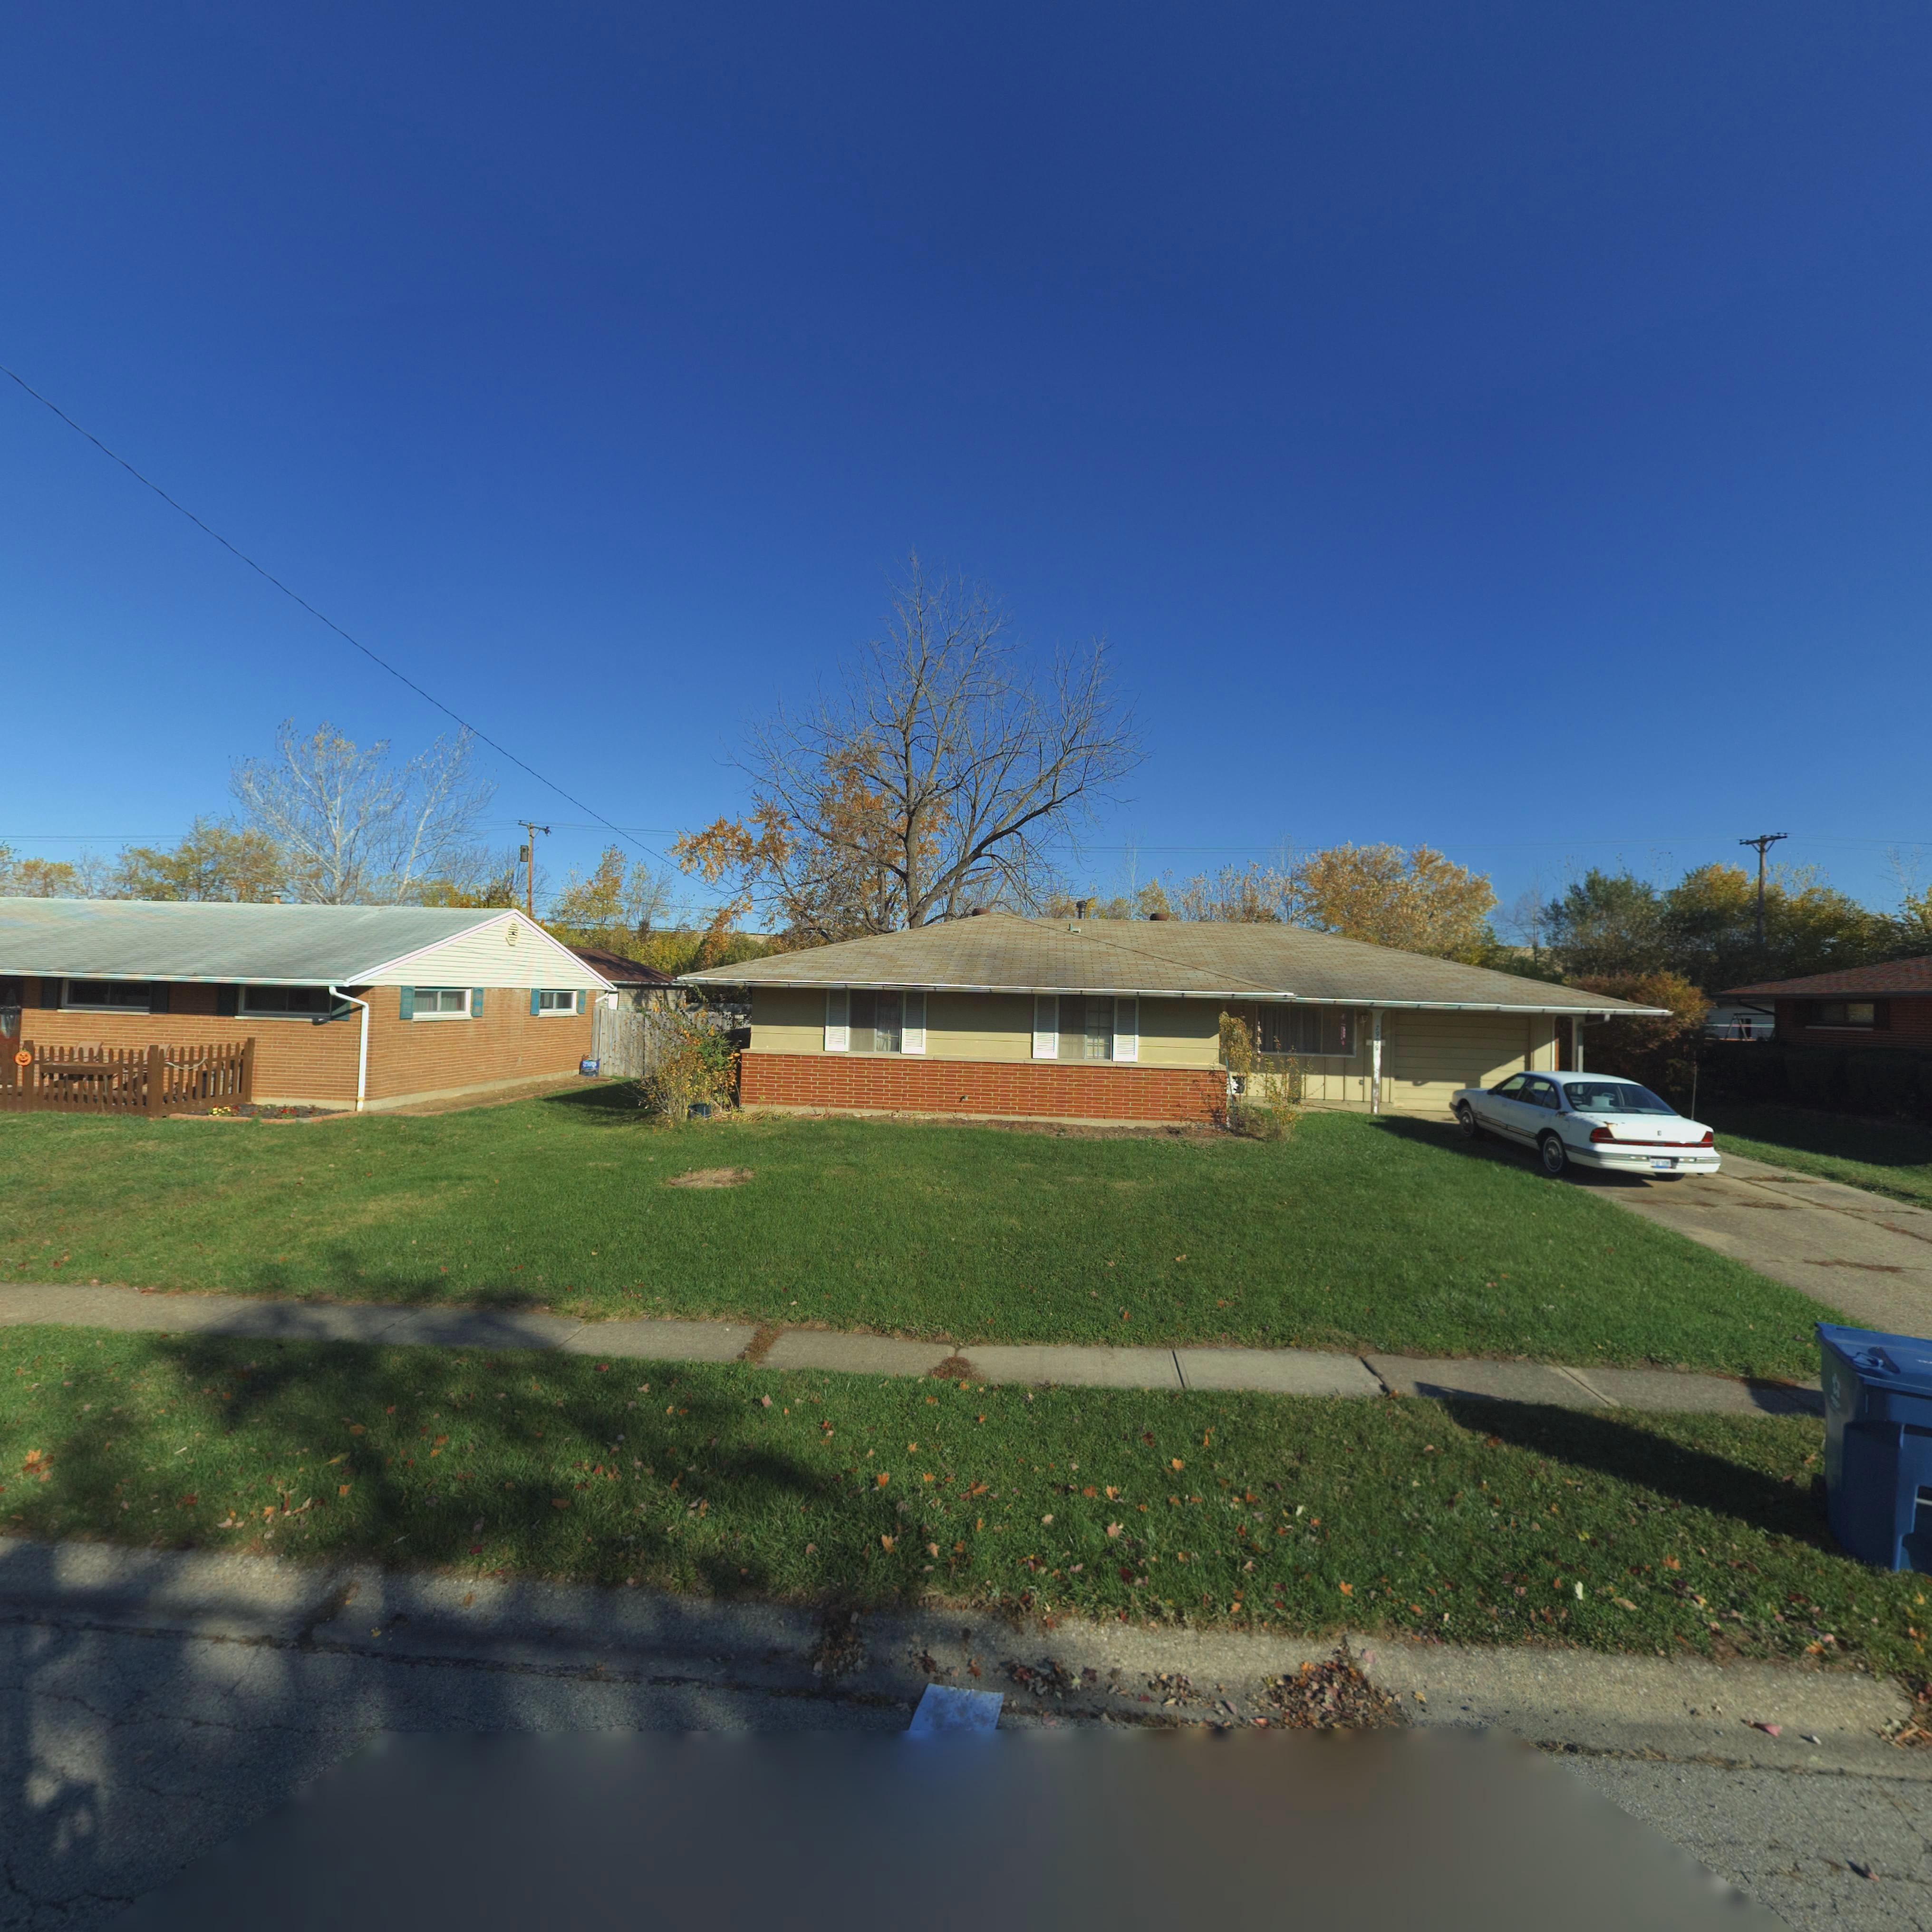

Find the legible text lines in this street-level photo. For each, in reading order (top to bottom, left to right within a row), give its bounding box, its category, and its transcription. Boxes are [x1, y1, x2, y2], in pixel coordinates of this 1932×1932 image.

[1374, 1024, 1381, 1052] StreetNumber: 79*9